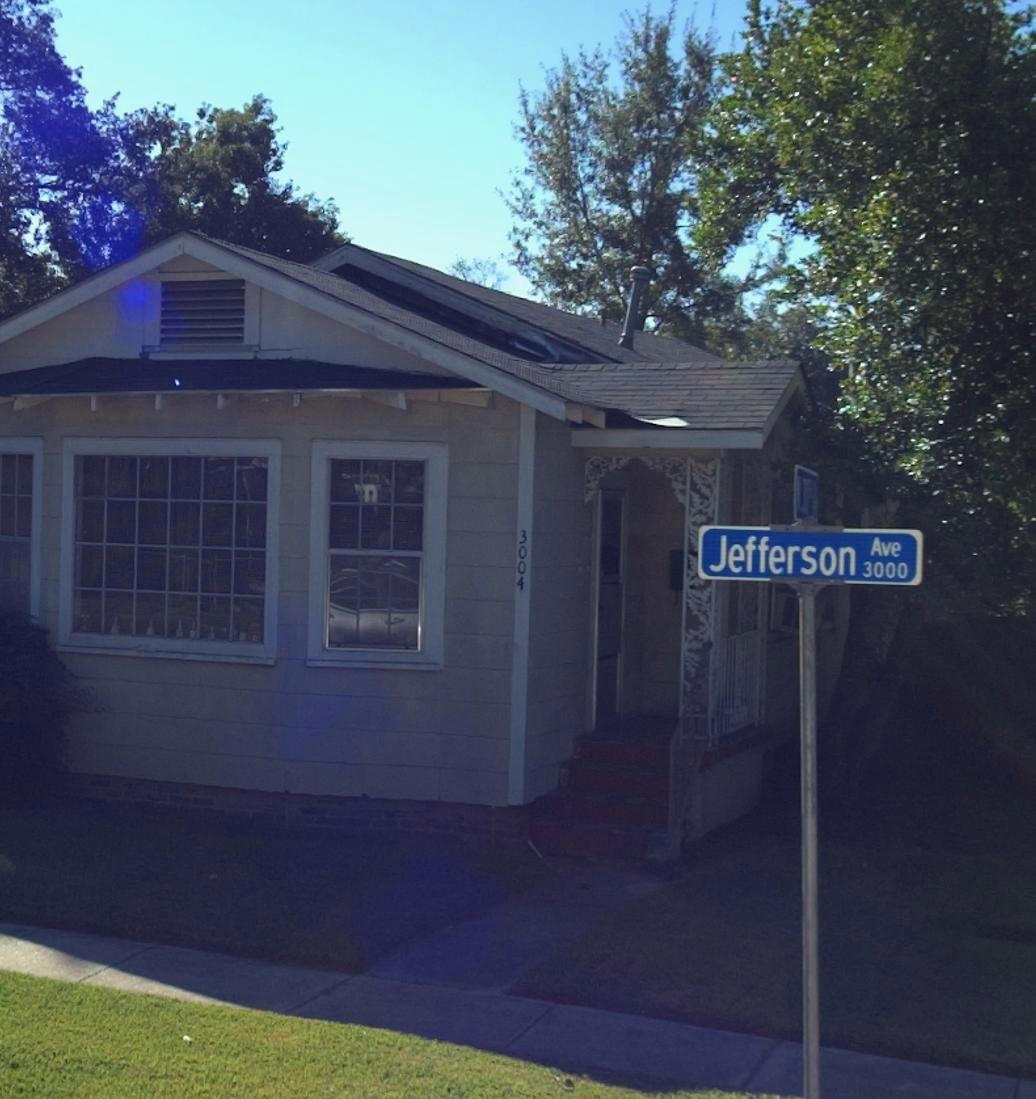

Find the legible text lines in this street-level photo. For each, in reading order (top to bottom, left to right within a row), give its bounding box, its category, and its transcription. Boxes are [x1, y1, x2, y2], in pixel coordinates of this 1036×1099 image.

[513, 527, 531, 593] StreetNumber: 3004
[702, 529, 905, 581] StreetName: Jefferson Ave
[859, 557, 911, 582] StreetNumber: 3000